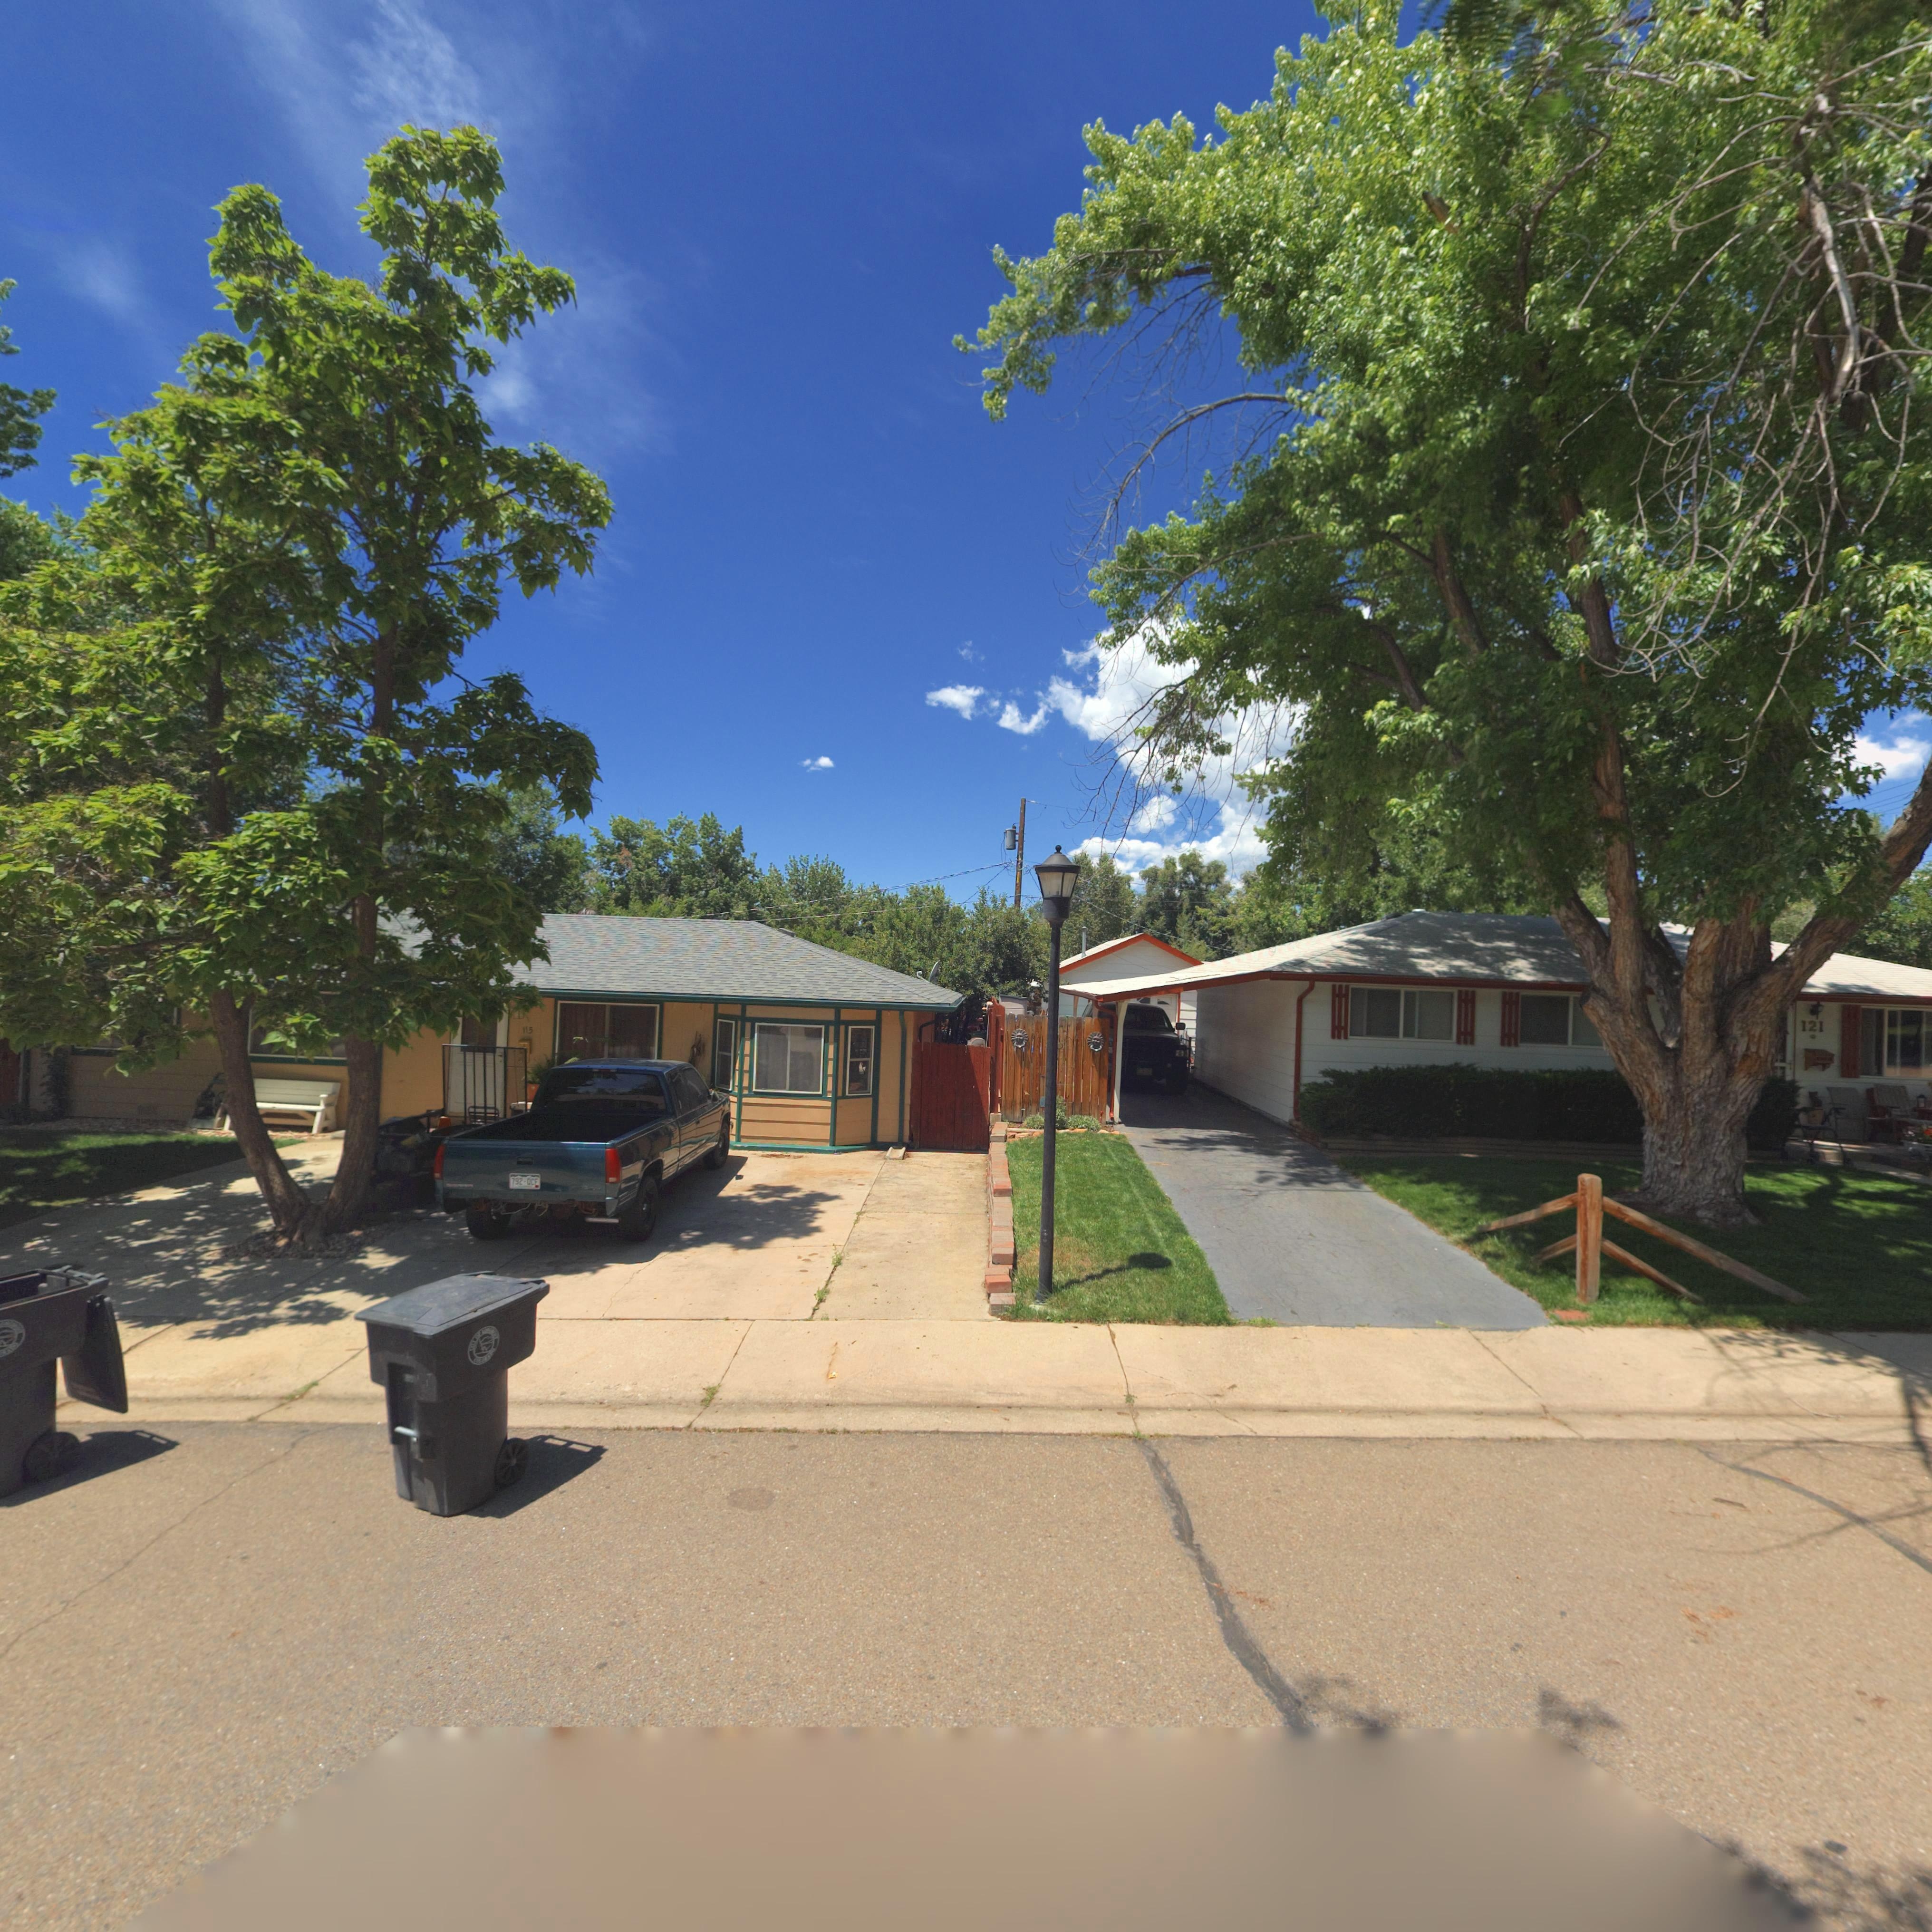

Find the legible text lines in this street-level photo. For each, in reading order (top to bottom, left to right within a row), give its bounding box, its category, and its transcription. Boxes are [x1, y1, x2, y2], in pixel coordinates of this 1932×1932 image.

[522, 1026, 533, 1034] StreetNumber: 115
[1800, 1019, 1824, 1032] StreetNumber: 121